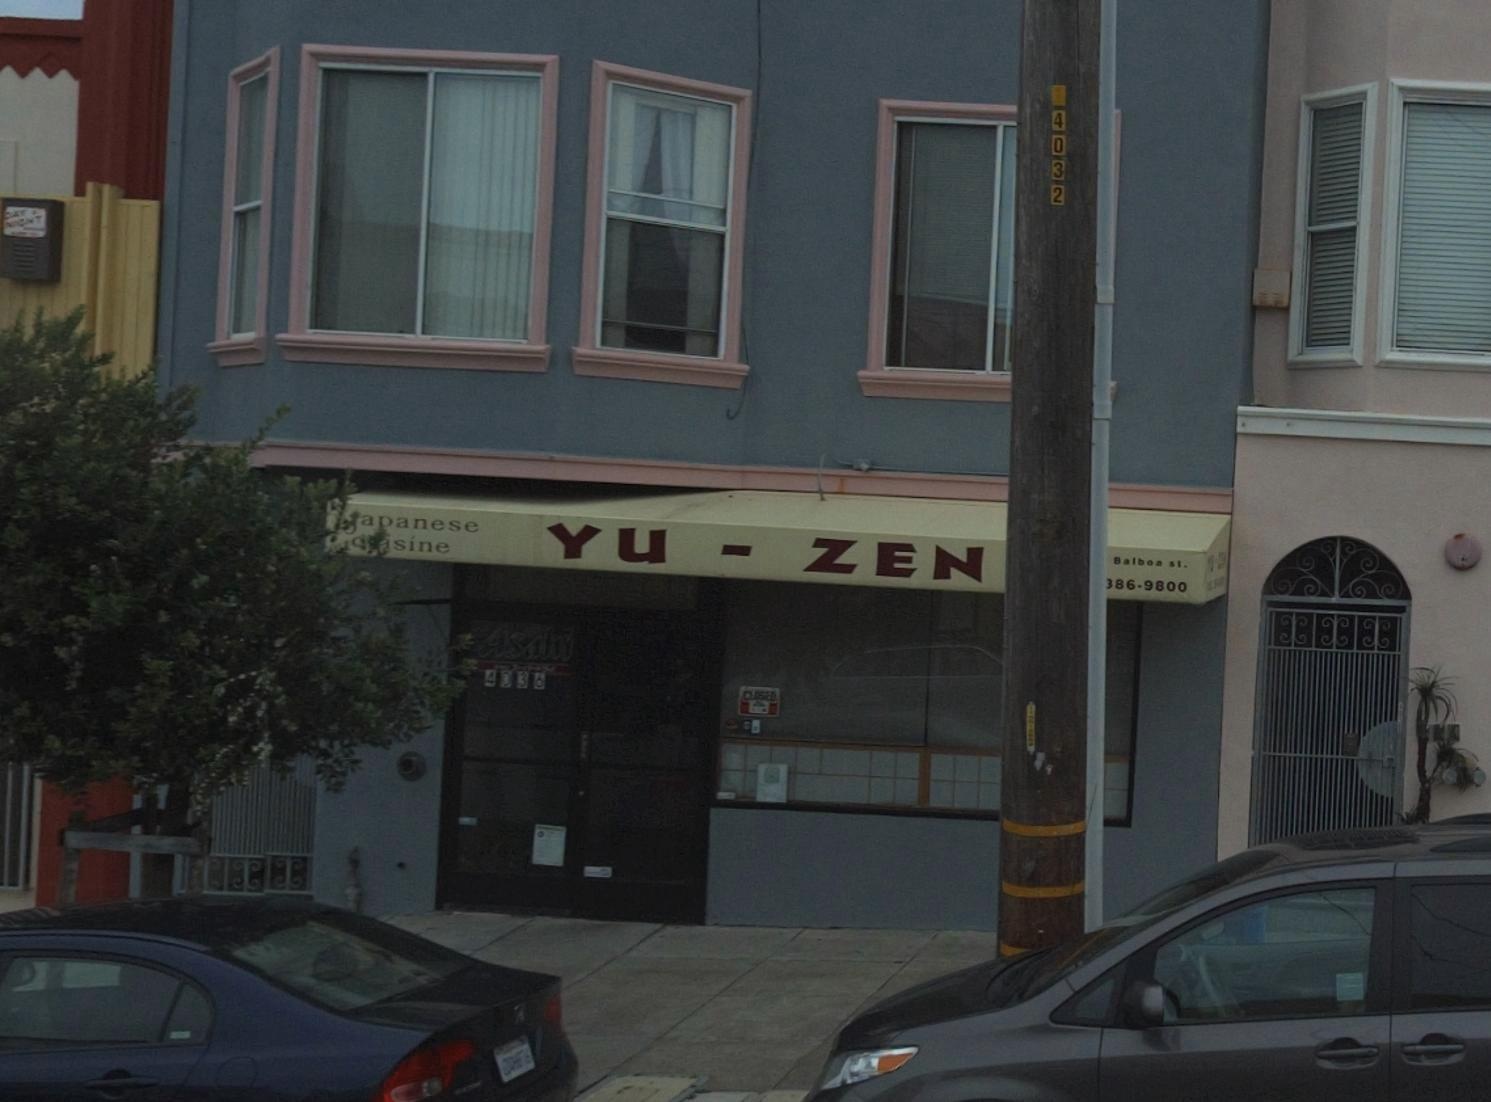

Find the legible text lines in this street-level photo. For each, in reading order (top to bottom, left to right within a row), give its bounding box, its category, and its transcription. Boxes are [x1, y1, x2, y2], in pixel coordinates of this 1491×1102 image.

[1050, 110, 1066, 206] None: 4032
[3, 205, 40, 222] None: DAY &
[4, 214, 43, 231] None: NIGHT
[359, 512, 480, 537] None: a*anese
[391, 533, 452, 557] None: sine
[543, 519, 989, 587] BusinessName: YU-ZEN
[1112, 554, 1189, 570] StreetName: Balboa st.
[1113, 576, 1189, 595] None: 86-9800
[474, 617, 530, 663] None: As
[484, 669, 546, 691] None: 4063
[741, 689, 777, 702] None: CLOSED